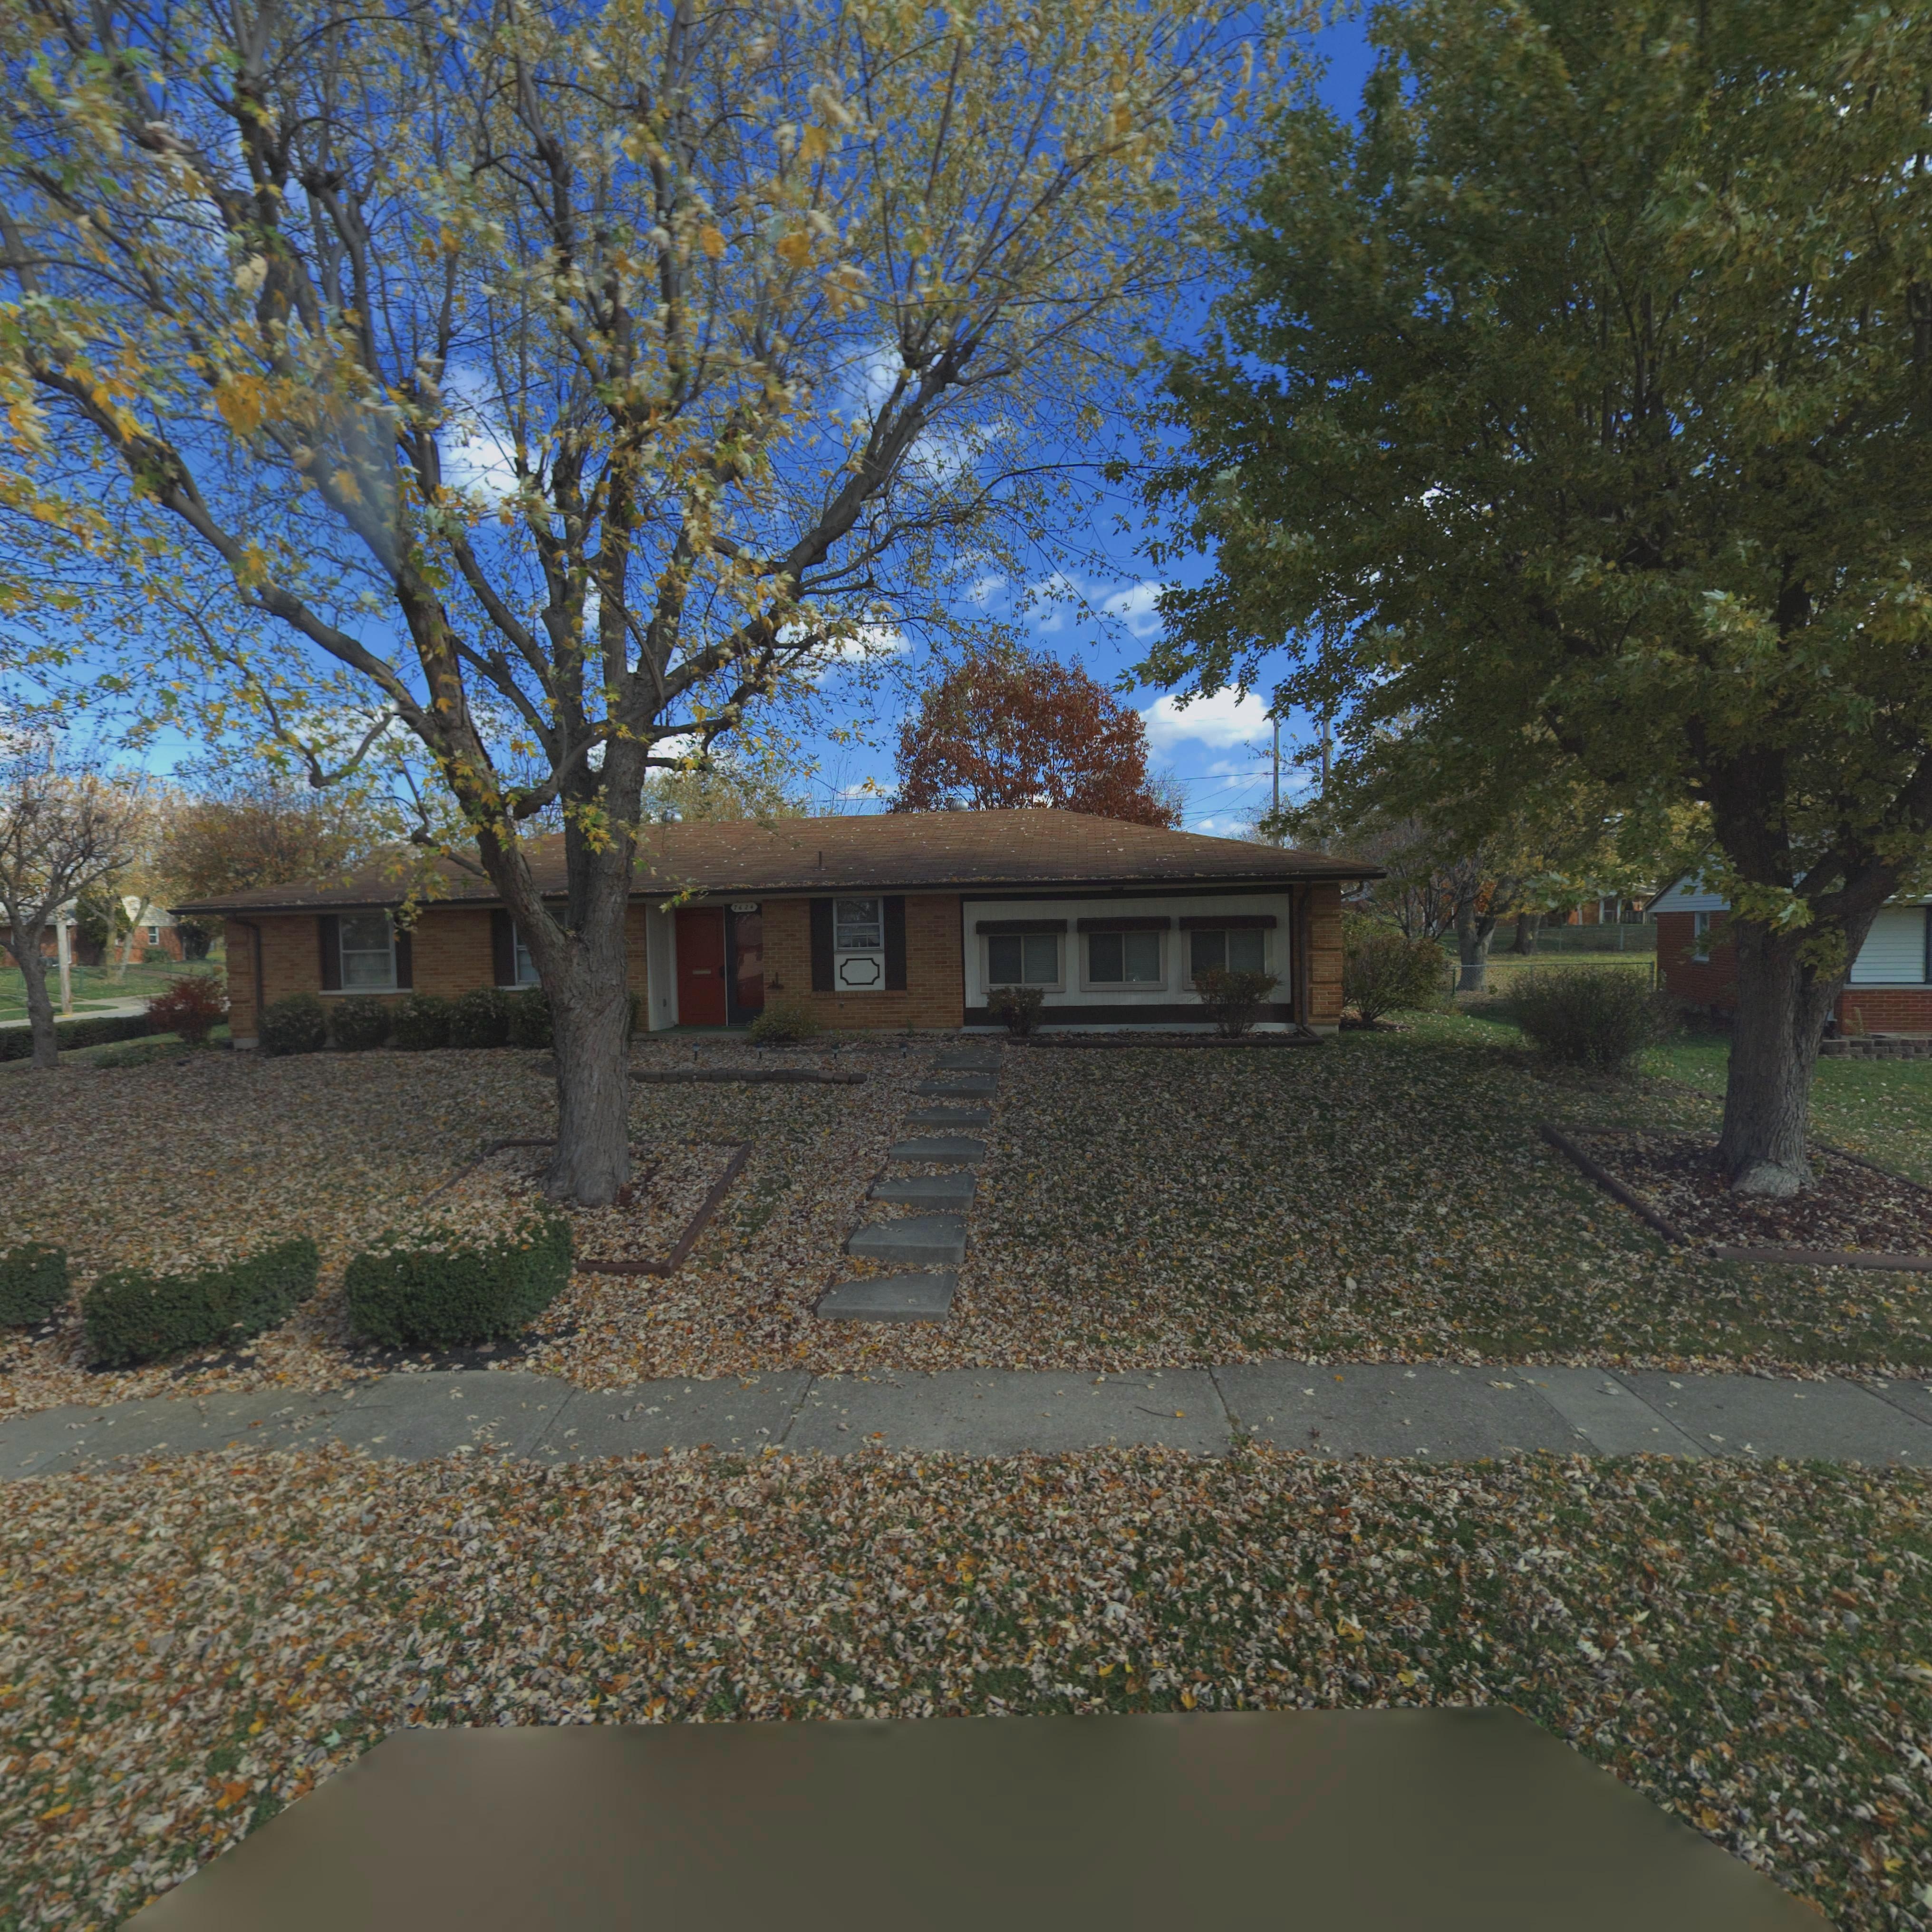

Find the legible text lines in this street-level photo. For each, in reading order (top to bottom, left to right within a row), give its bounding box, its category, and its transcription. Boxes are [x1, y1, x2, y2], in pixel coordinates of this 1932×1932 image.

[733, 903, 755, 912] StreetNumber: 7624